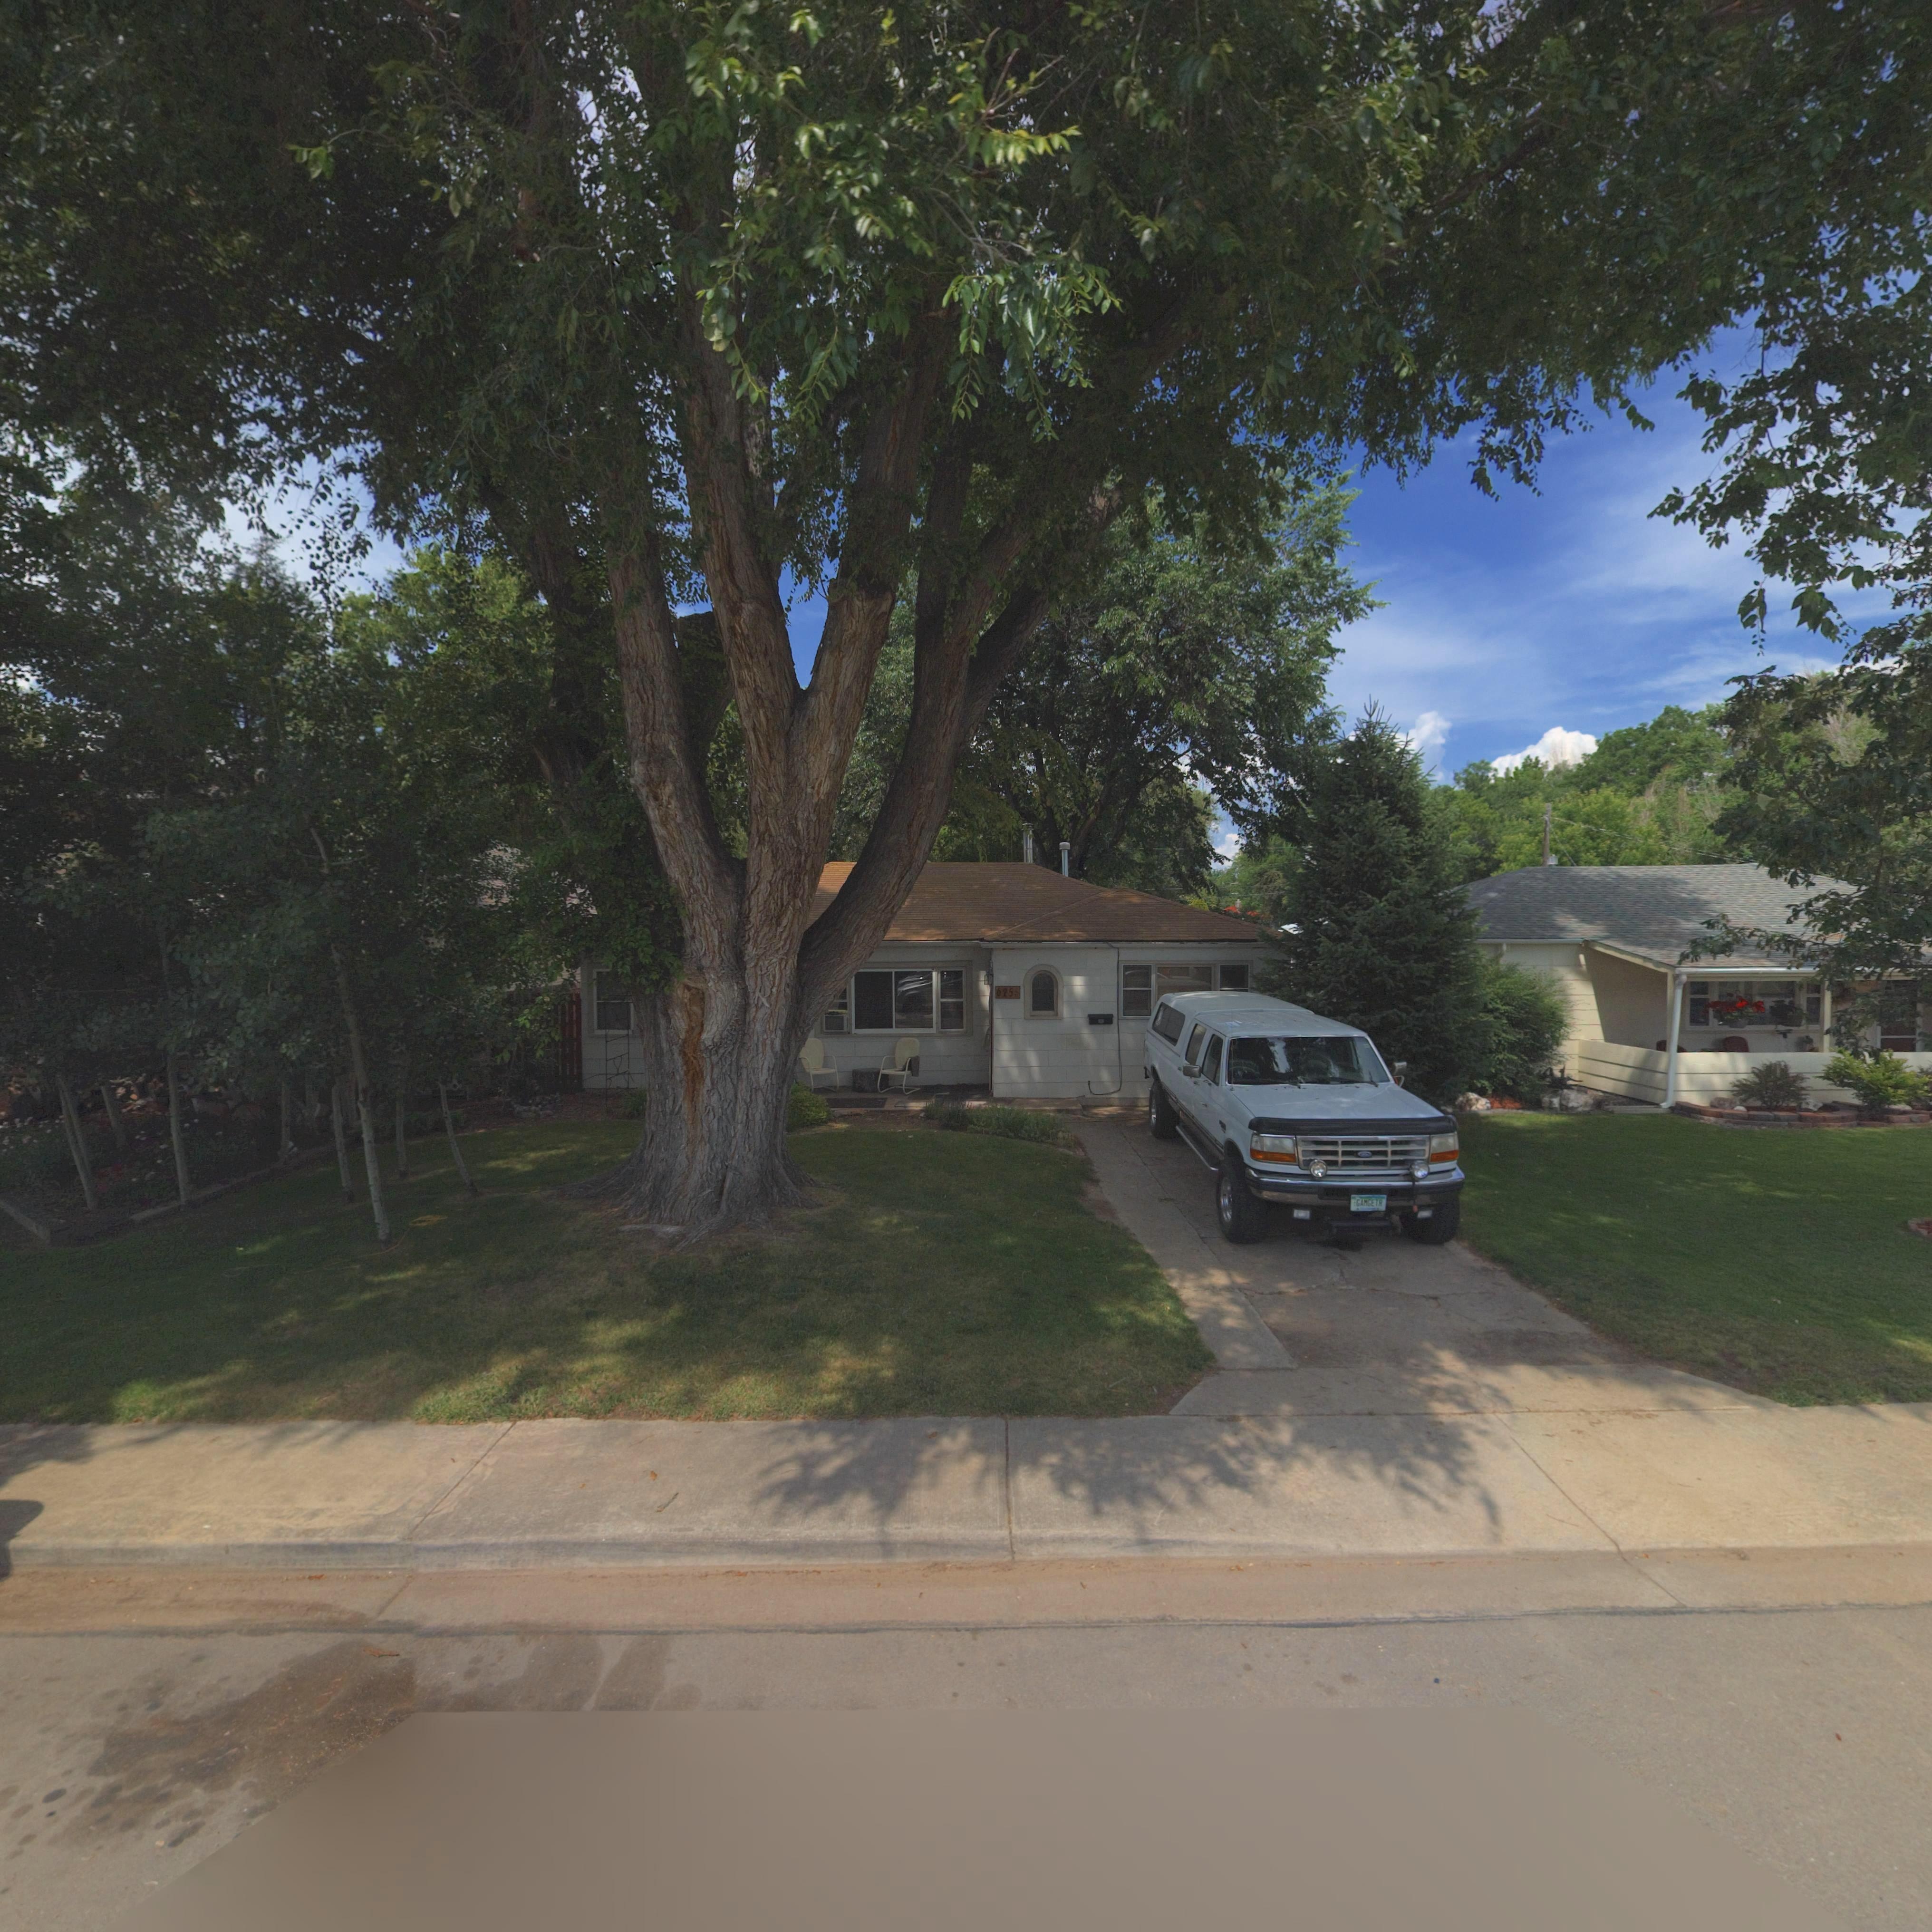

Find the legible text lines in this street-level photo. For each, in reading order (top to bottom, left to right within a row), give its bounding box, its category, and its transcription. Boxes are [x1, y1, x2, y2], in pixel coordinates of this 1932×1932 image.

[996, 986, 1014, 997] StreetNumber: 625